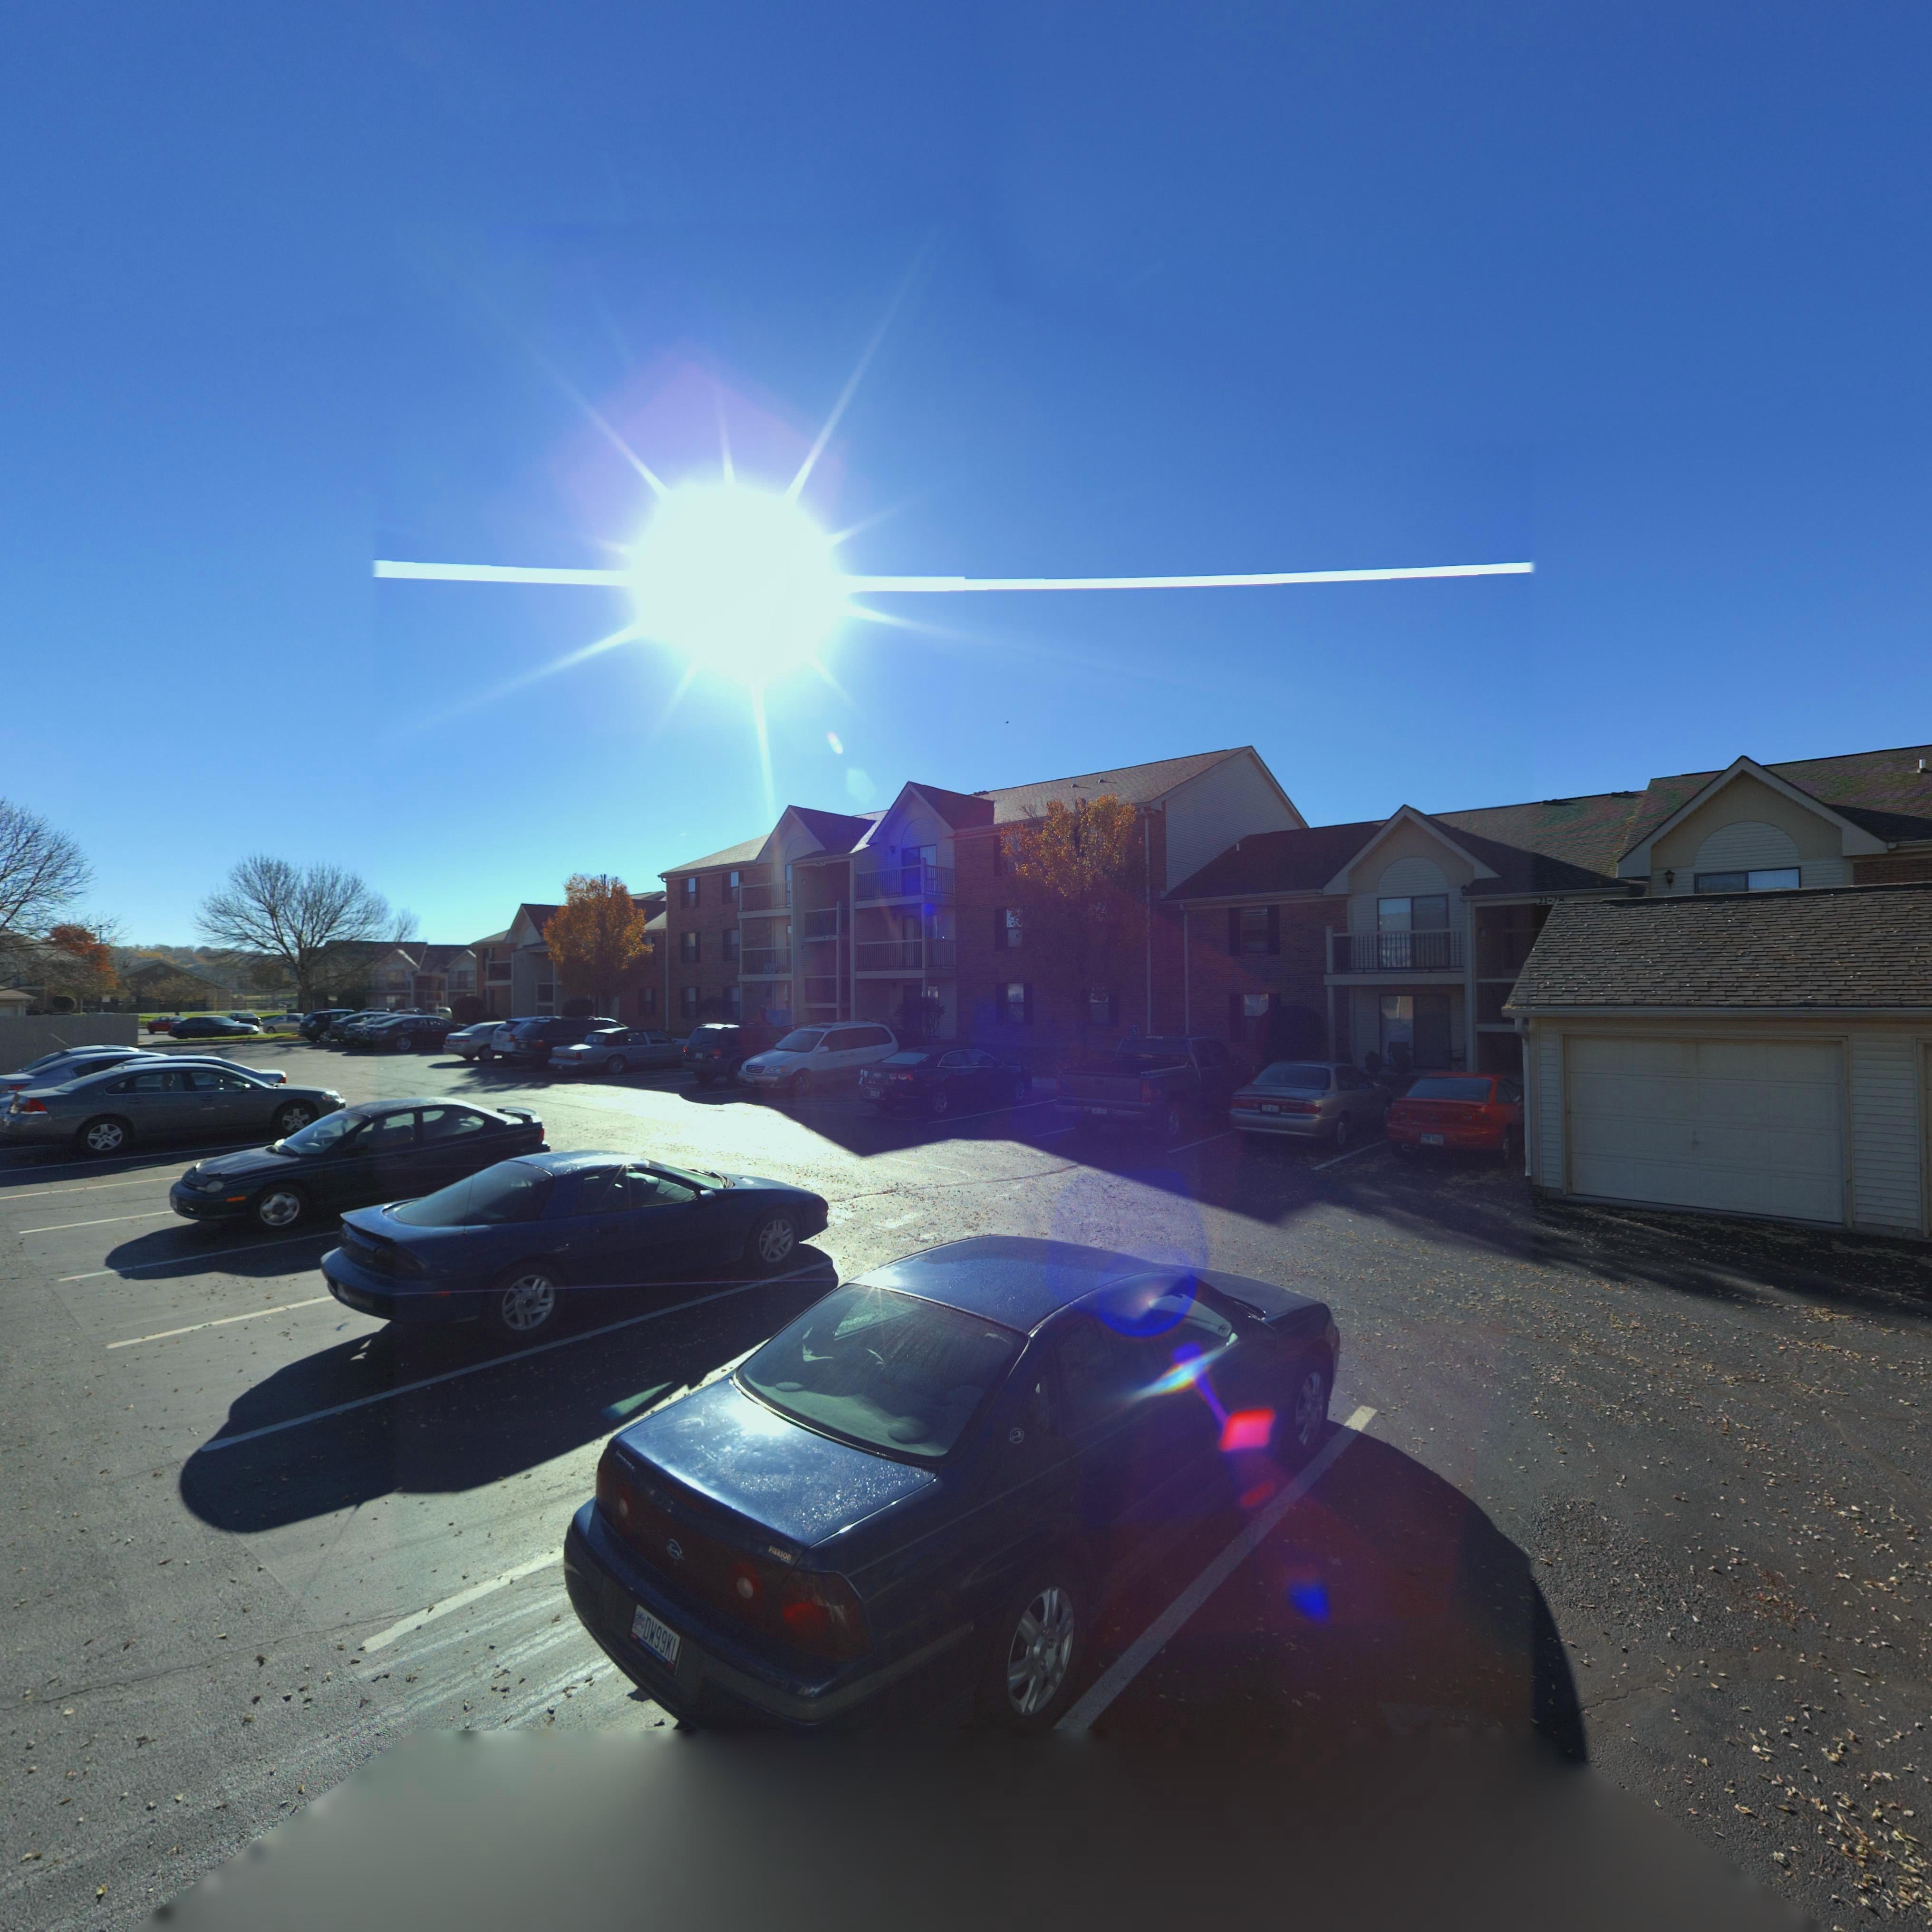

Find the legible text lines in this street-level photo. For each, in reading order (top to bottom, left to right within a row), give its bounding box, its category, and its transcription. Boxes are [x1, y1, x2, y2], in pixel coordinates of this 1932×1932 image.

[816, 860, 825, 866] StreetNumber: 5415
[1536, 896, 1564, 905] StreetNumber: 21-28
[823, 935, 832, 940] StreetNumber: 9-20